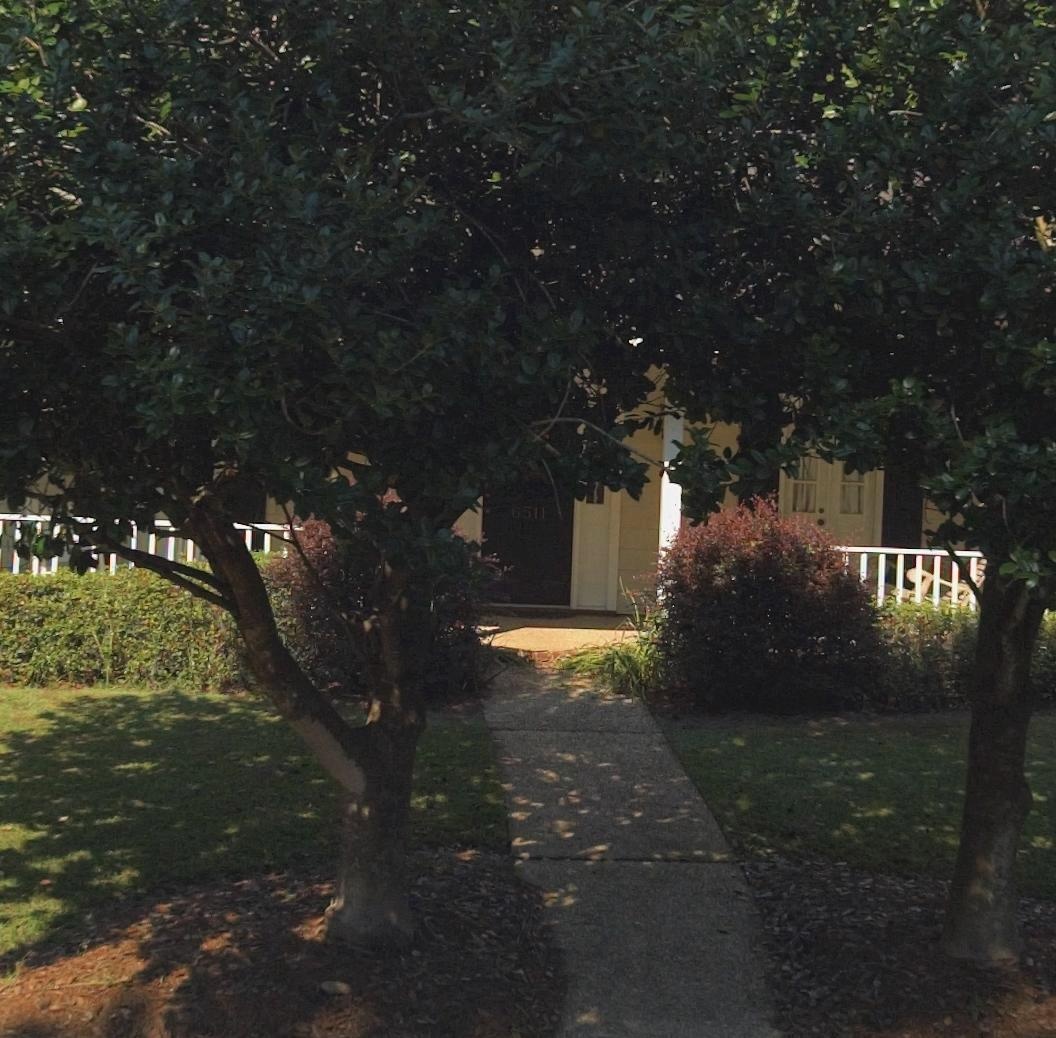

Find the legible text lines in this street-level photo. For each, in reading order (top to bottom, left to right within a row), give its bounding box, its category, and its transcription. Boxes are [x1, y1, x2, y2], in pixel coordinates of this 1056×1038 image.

[511, 506, 546, 520] StreetNumber: 6511